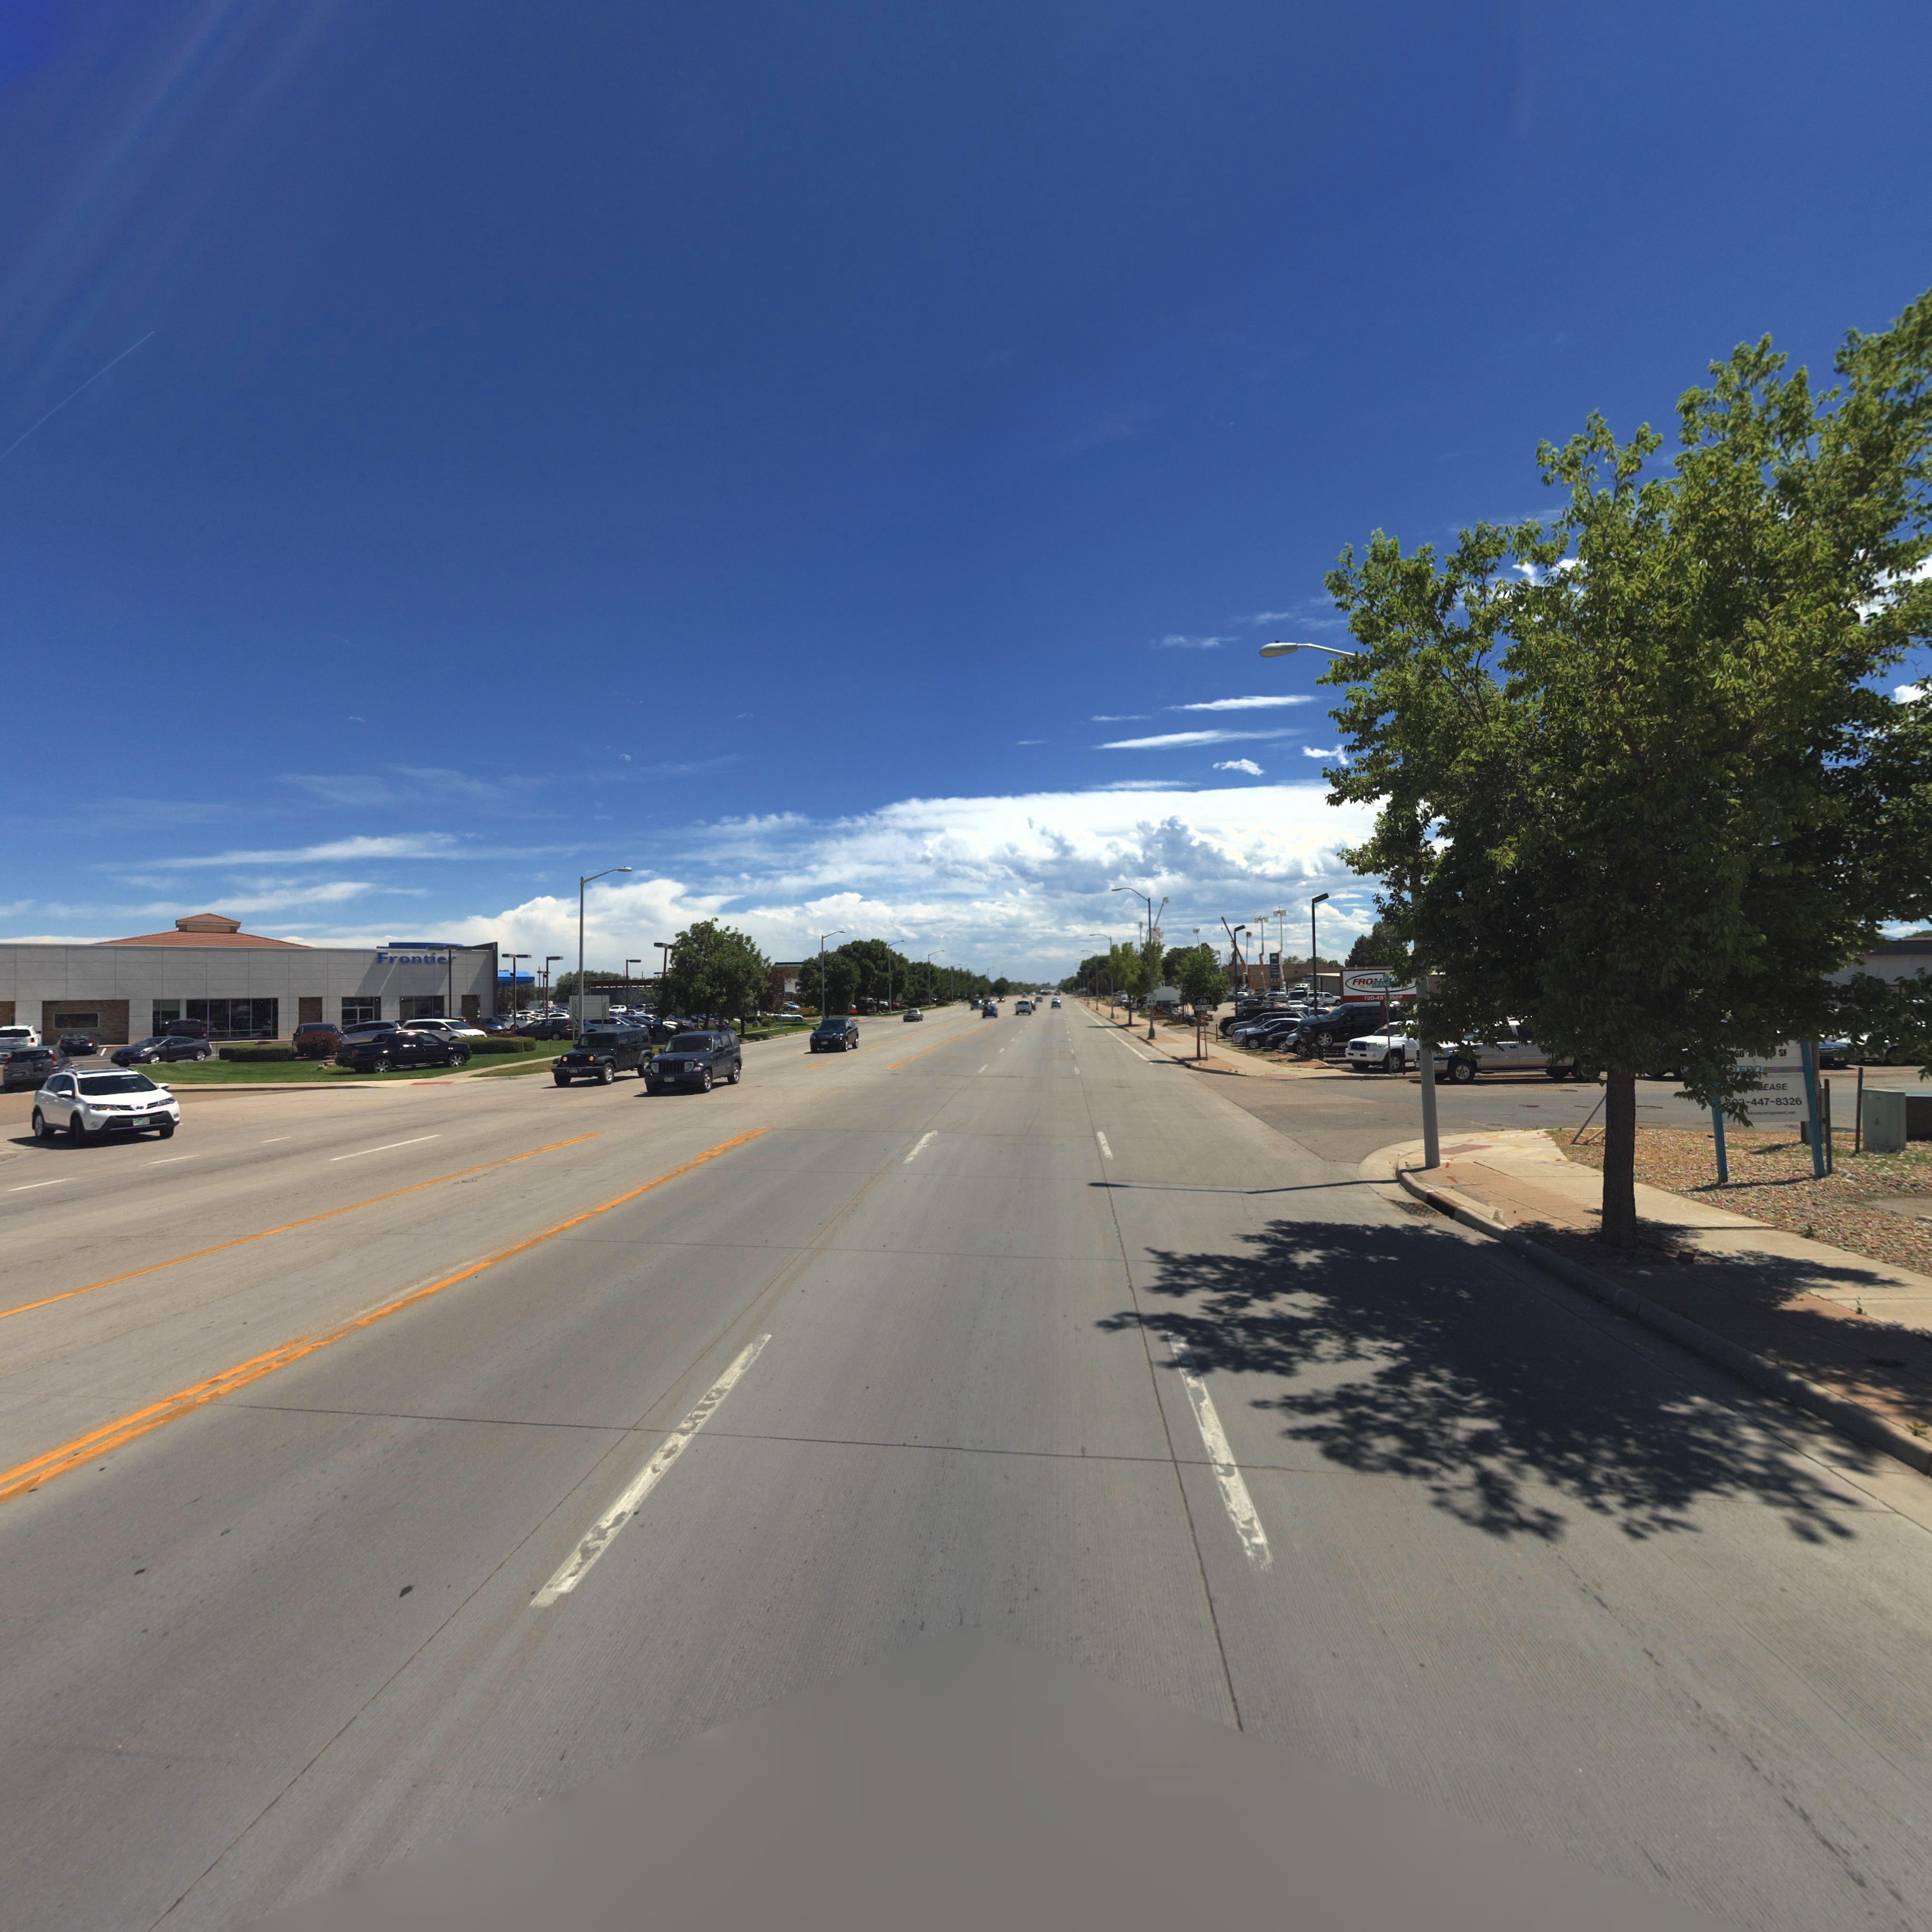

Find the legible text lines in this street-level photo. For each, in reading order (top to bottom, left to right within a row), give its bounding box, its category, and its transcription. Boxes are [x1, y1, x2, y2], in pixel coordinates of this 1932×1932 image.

[377, 951, 457, 964] BusinessName: Frontie*
[1351, 977, 1409, 985] BusinessName: FRO** ****
[1372, 981, 1400, 986] StreetName: GRAND **